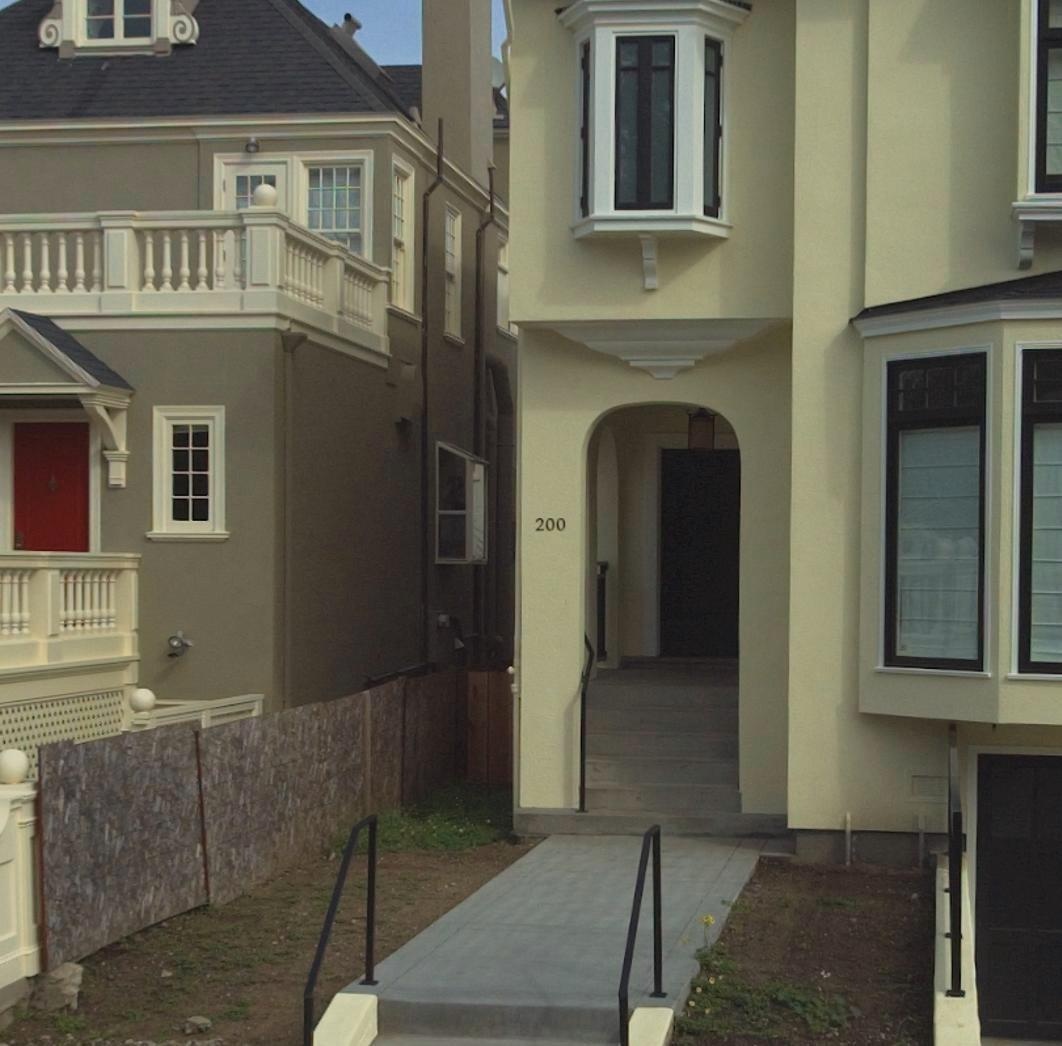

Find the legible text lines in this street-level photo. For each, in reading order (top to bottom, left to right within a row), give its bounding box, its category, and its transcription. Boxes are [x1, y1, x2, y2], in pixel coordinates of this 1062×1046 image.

[533, 516, 567, 533] StreetNumber: 200